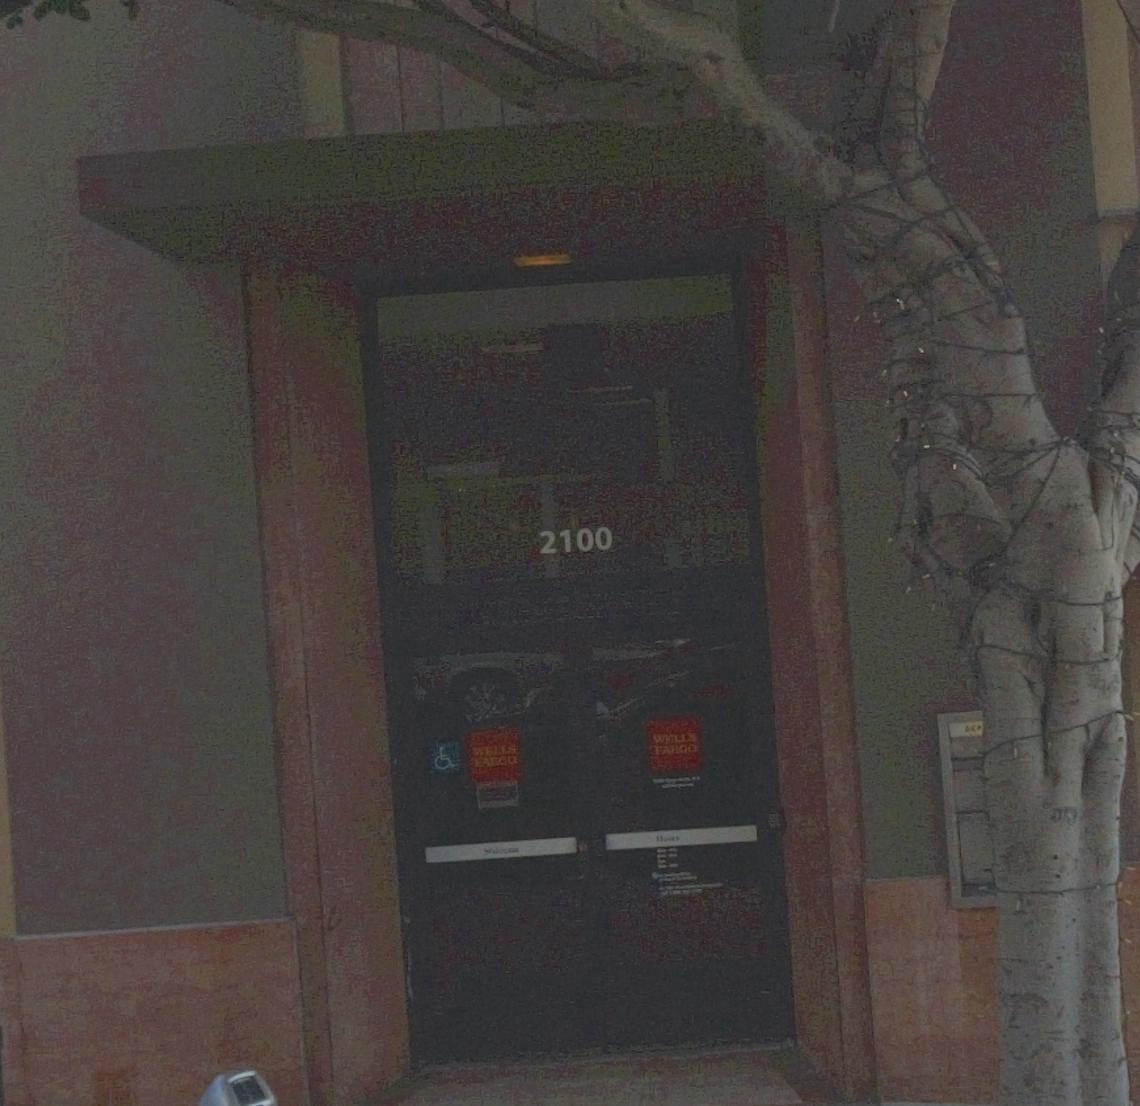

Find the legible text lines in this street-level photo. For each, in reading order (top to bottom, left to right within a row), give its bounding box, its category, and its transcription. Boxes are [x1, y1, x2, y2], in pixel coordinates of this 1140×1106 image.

[537, 524, 615, 557] StreetNumber: 2100
[650, 730, 701, 745] BusinessName: WELLS
[470, 742, 520, 758] BusinessName: WELLS
[650, 742, 700, 757] BusinessName: FARGO
[472, 753, 521, 770] BusinessName: FARGO